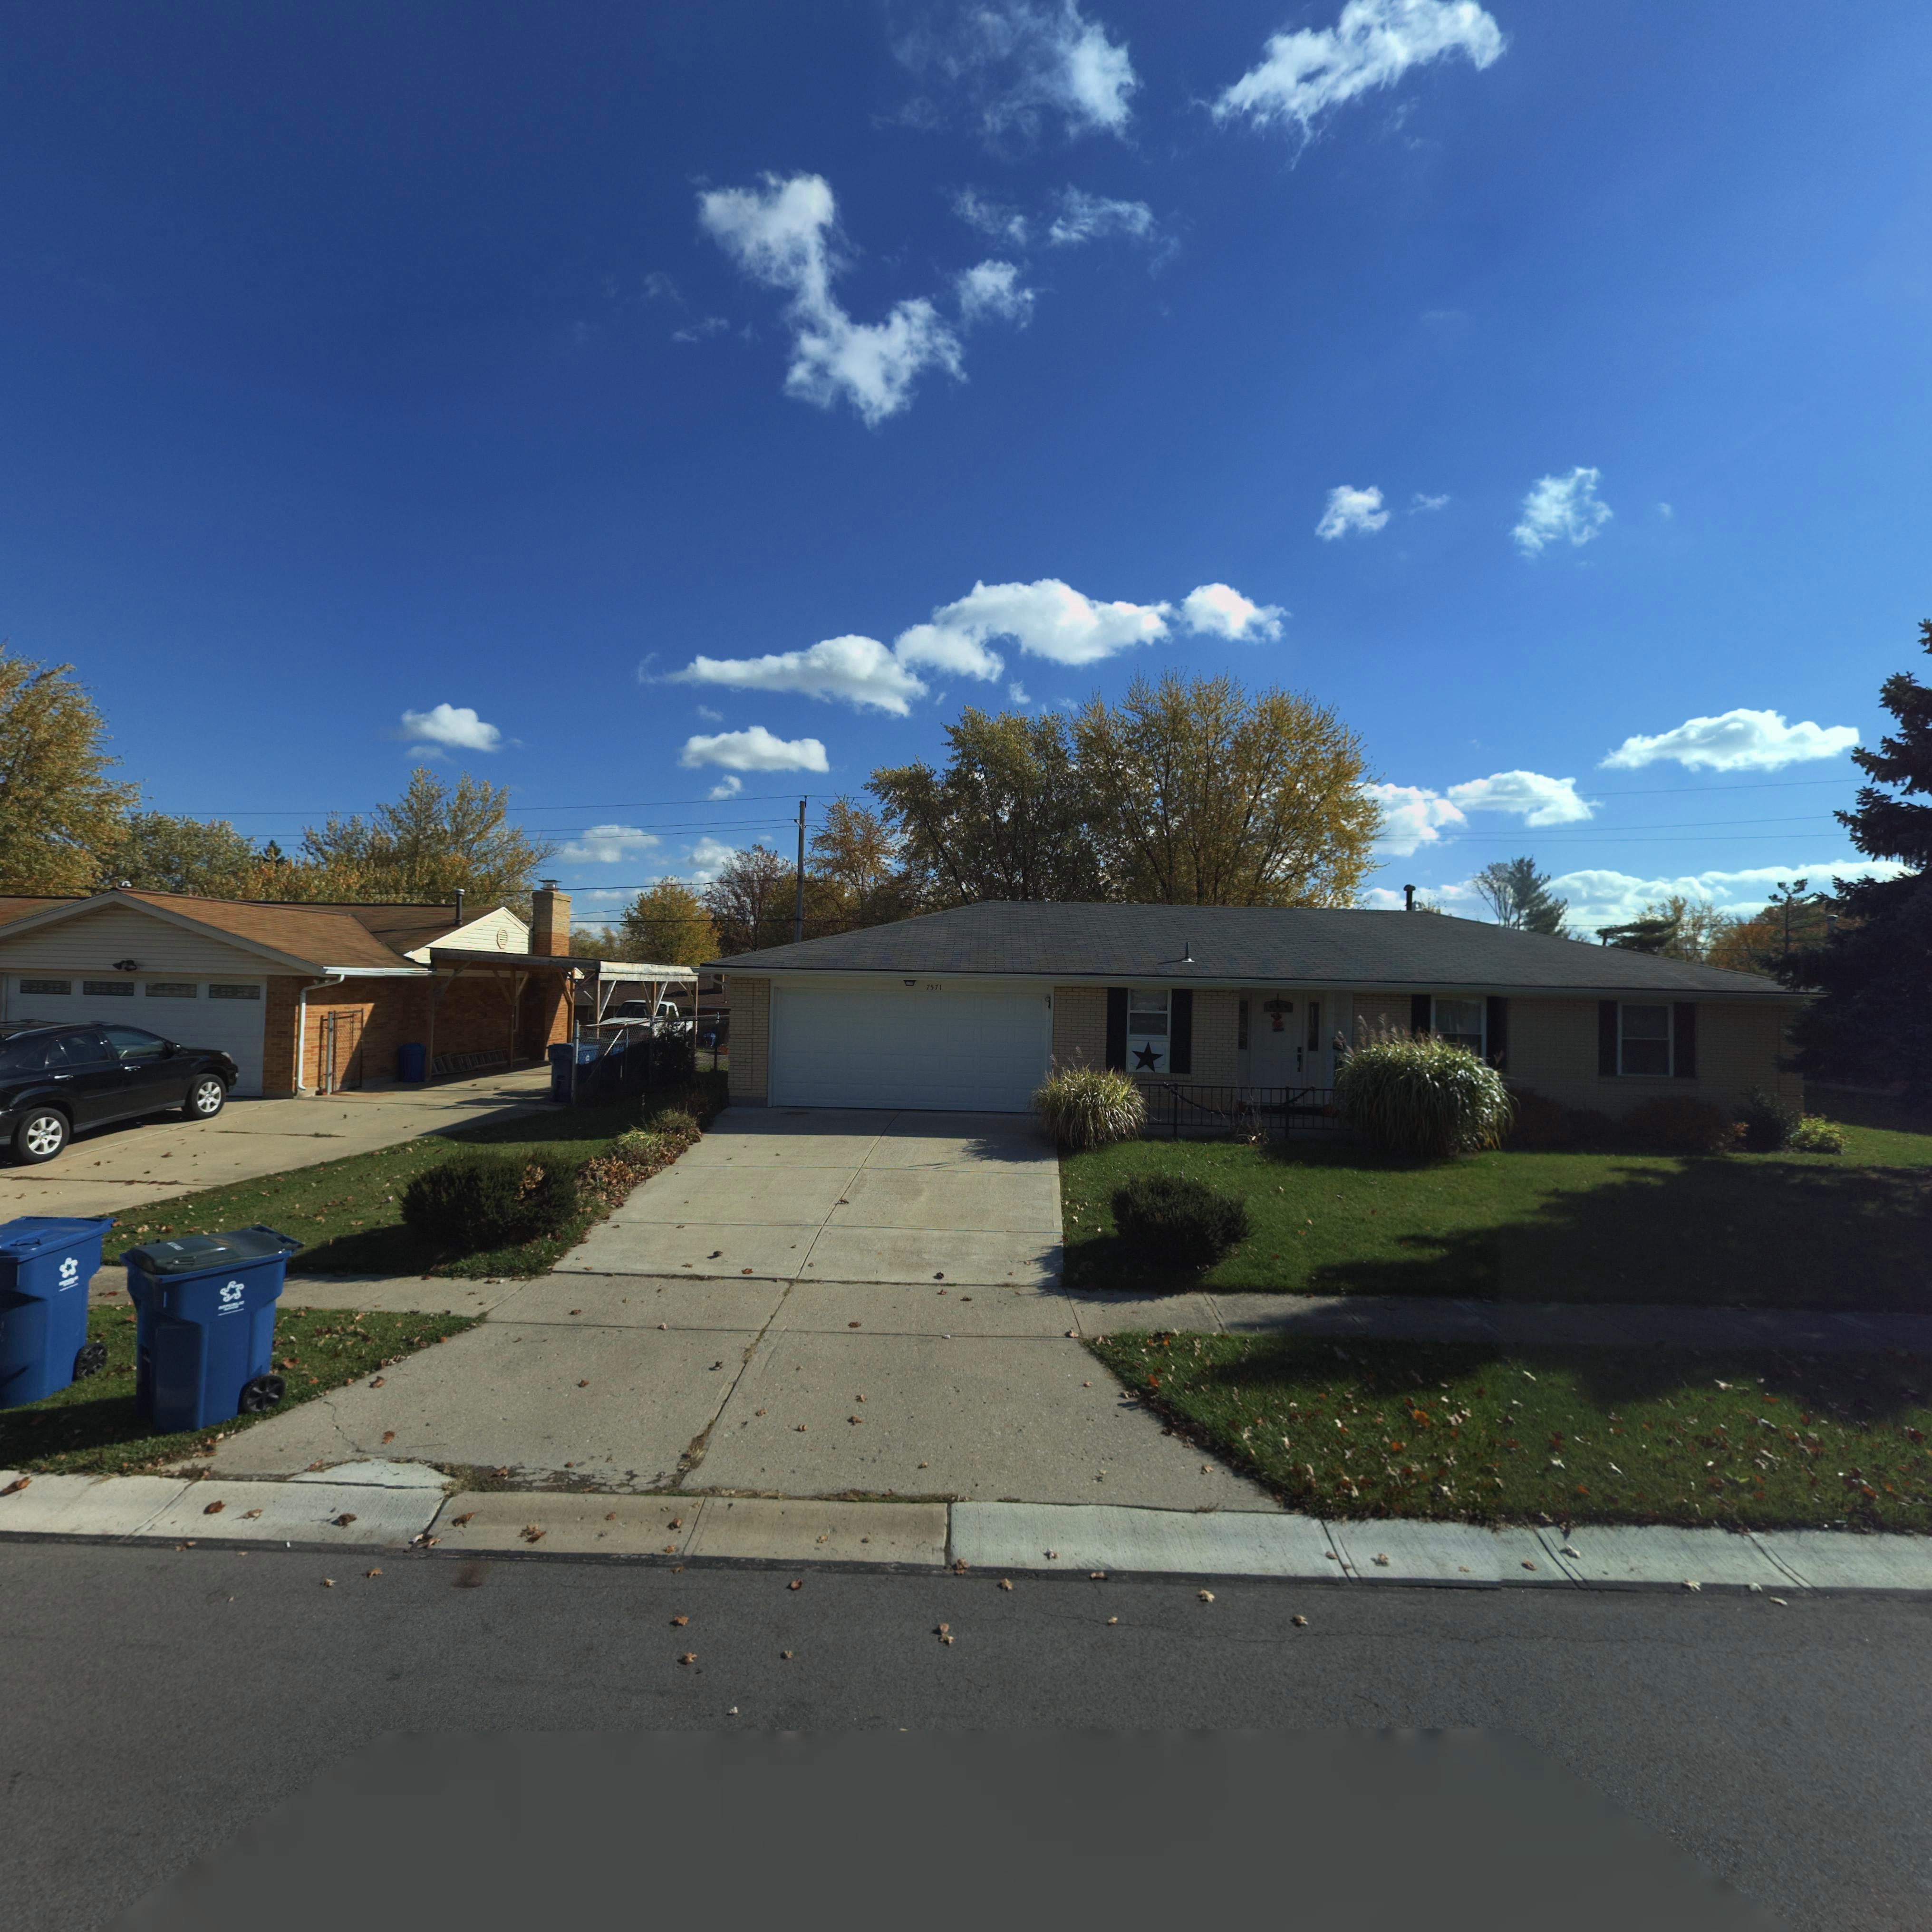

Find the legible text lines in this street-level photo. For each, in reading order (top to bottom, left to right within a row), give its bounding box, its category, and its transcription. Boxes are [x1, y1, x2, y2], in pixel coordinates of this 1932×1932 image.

[925, 983, 943, 992] StreetNumber: 7571